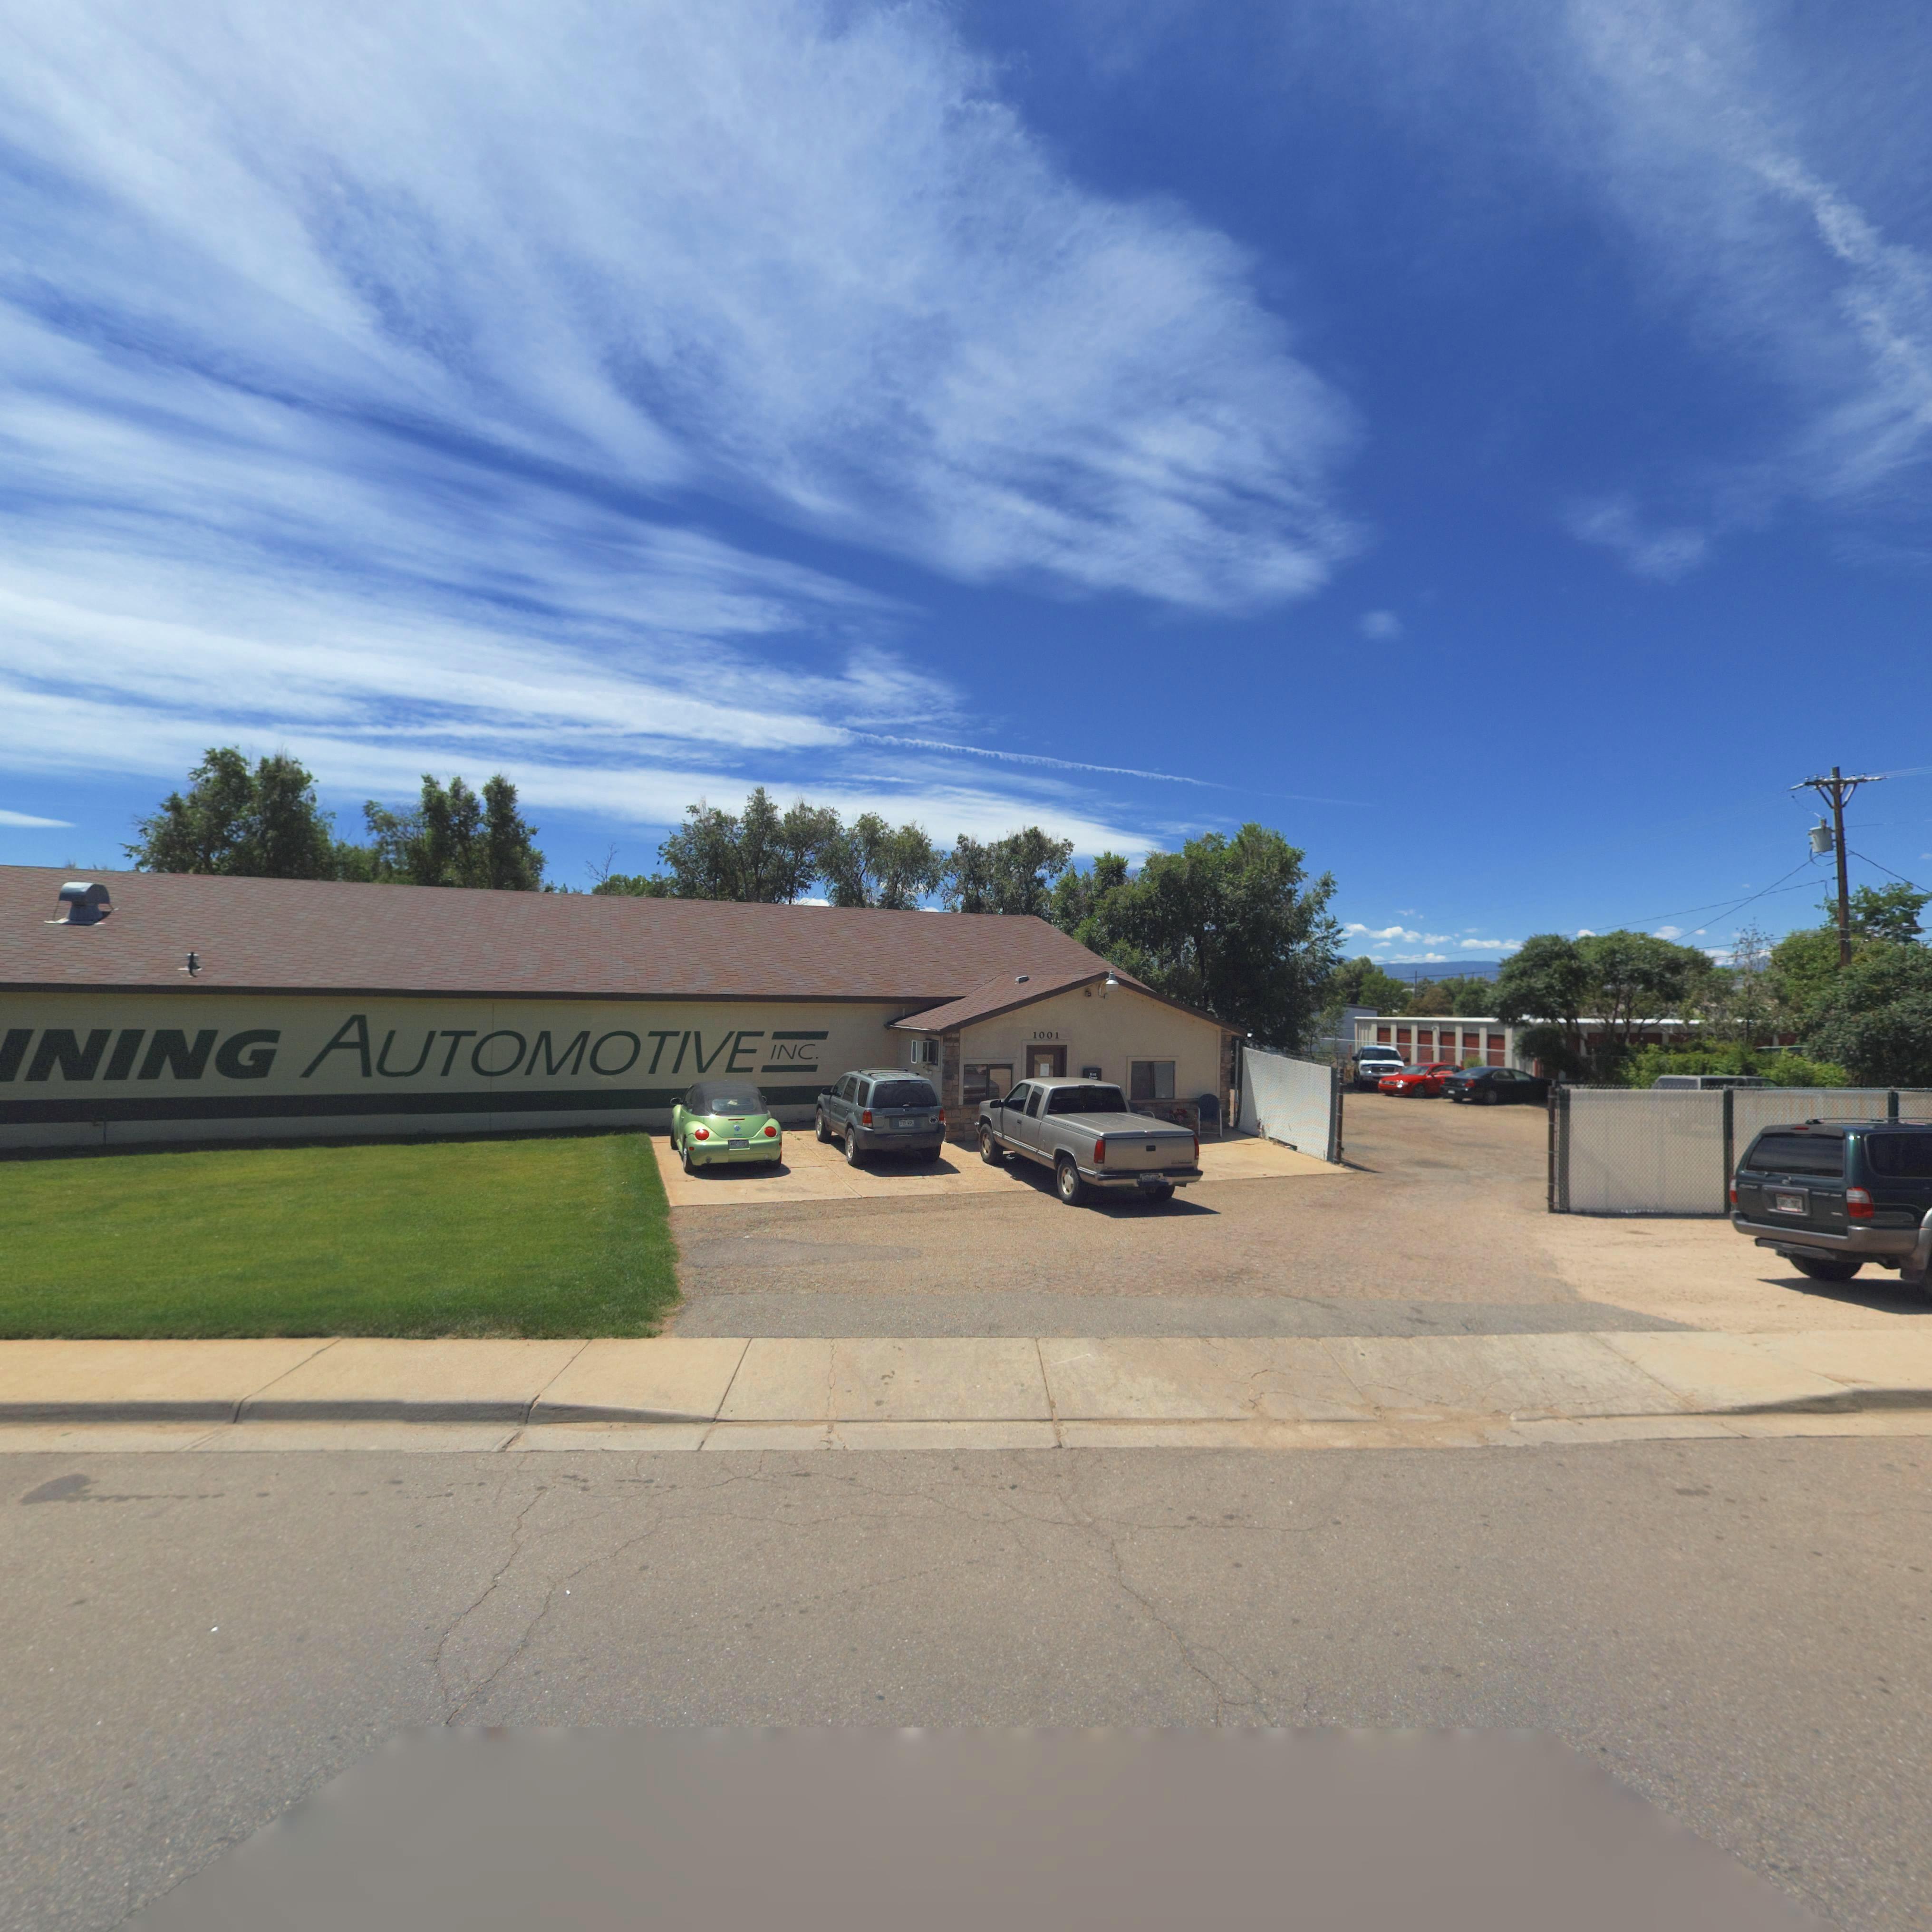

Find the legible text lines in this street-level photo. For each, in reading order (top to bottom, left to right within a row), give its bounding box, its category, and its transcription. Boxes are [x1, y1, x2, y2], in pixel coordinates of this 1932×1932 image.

[23, 1012, 820, 1082] BusinessName: NING AUTOMOTIVE INC.
[1033, 1031, 1060, 1039] StreetNumber: 1001